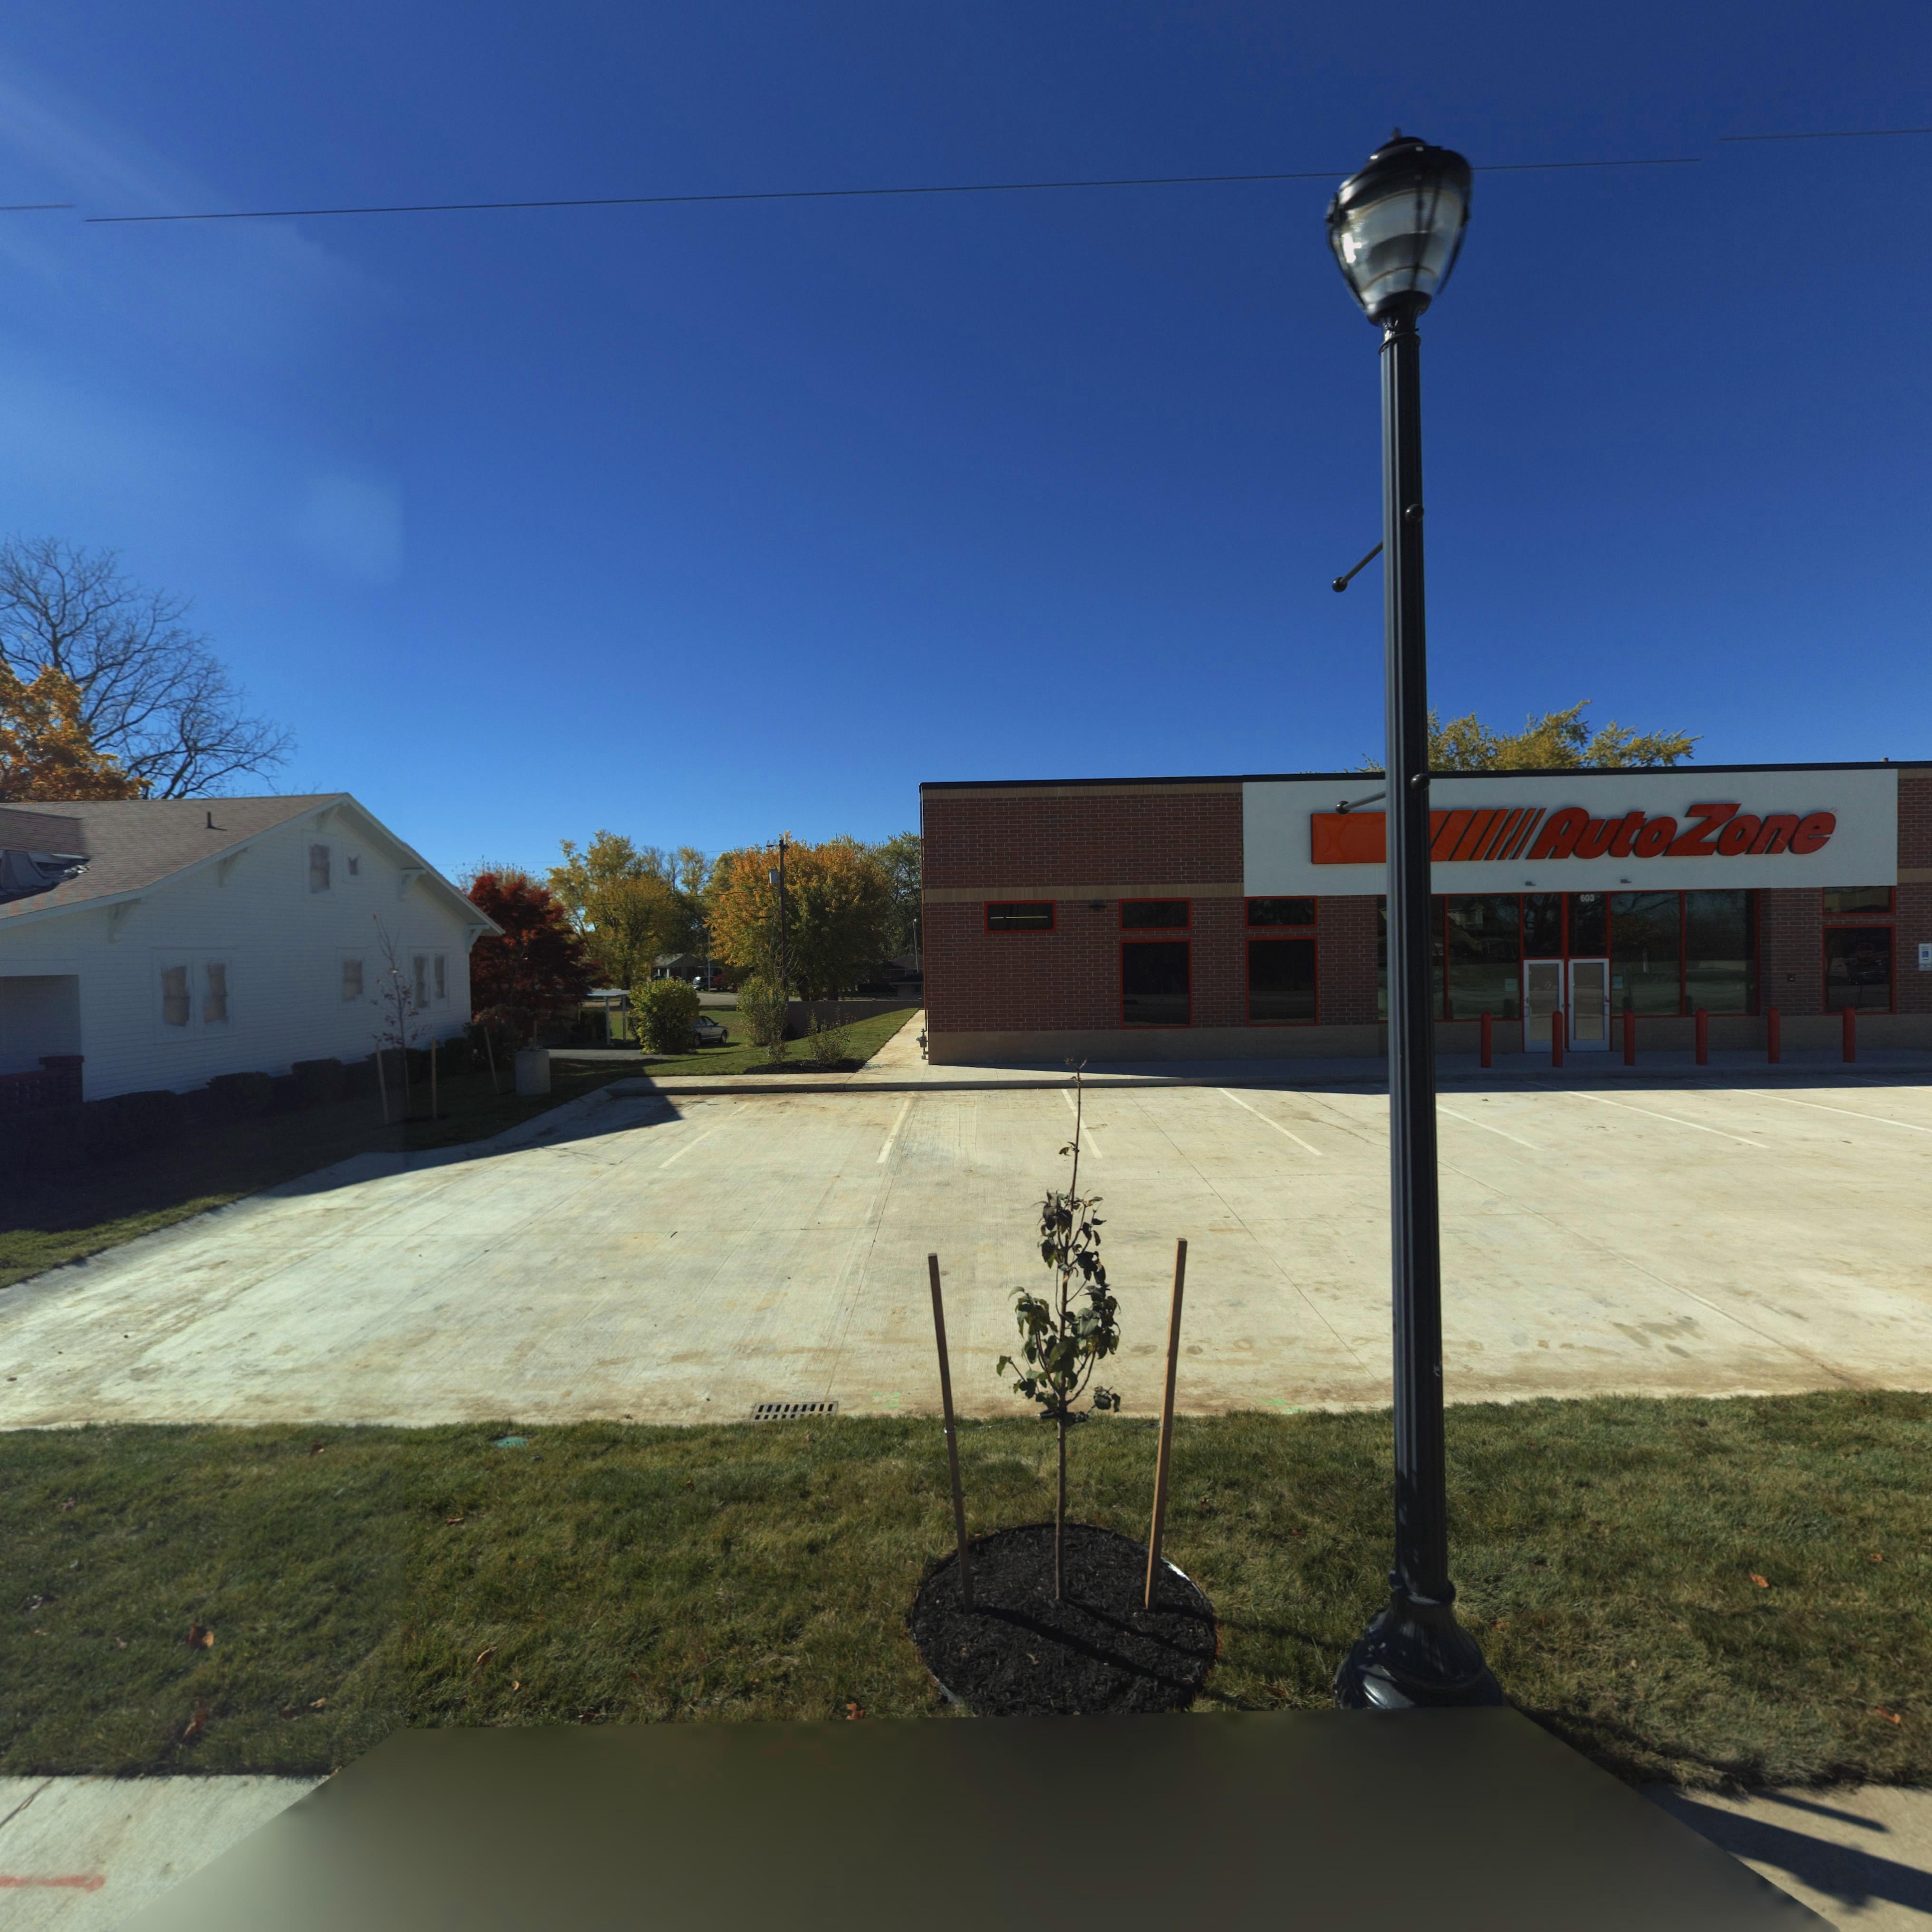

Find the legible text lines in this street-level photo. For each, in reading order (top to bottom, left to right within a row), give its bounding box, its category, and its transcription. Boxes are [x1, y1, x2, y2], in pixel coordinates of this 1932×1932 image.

[1523, 802, 1838, 860] BusinessName: AutoZone
[1579, 893, 1596, 903] StreetNumber: 603